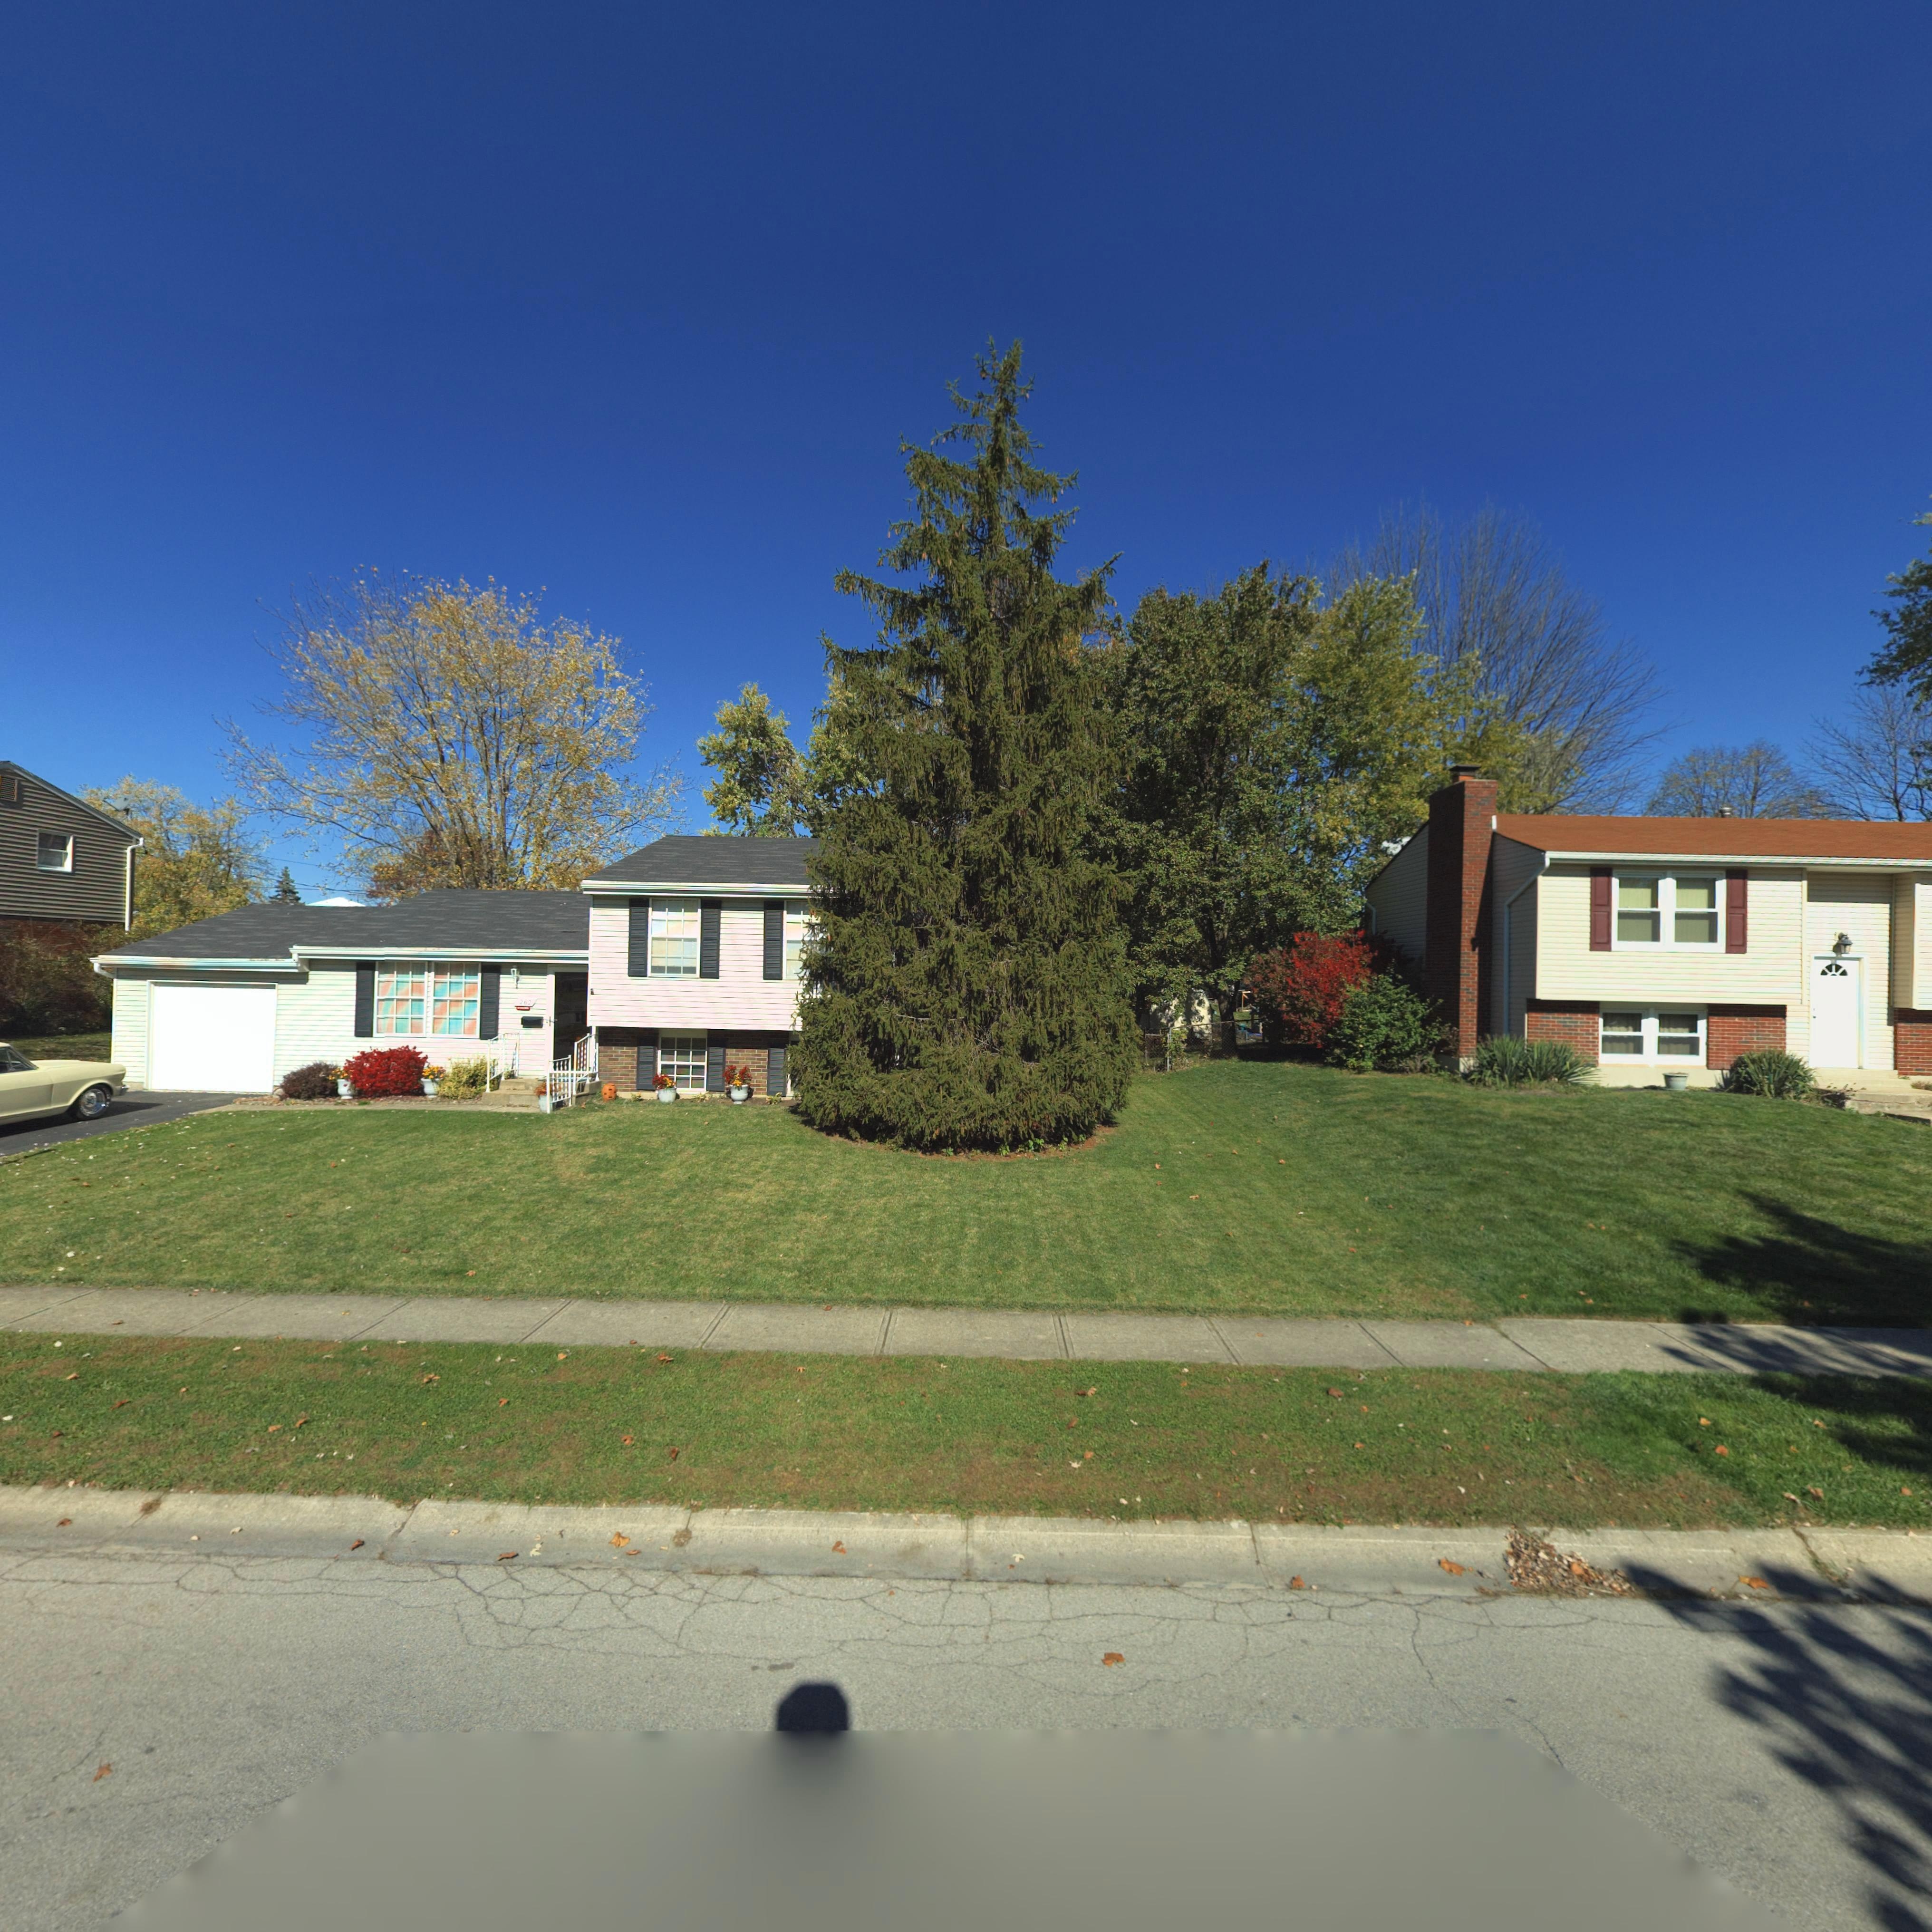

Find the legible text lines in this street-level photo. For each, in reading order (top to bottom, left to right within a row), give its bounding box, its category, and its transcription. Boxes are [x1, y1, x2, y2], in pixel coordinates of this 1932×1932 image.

[519, 999, 531, 1005] StreetNumber: 262